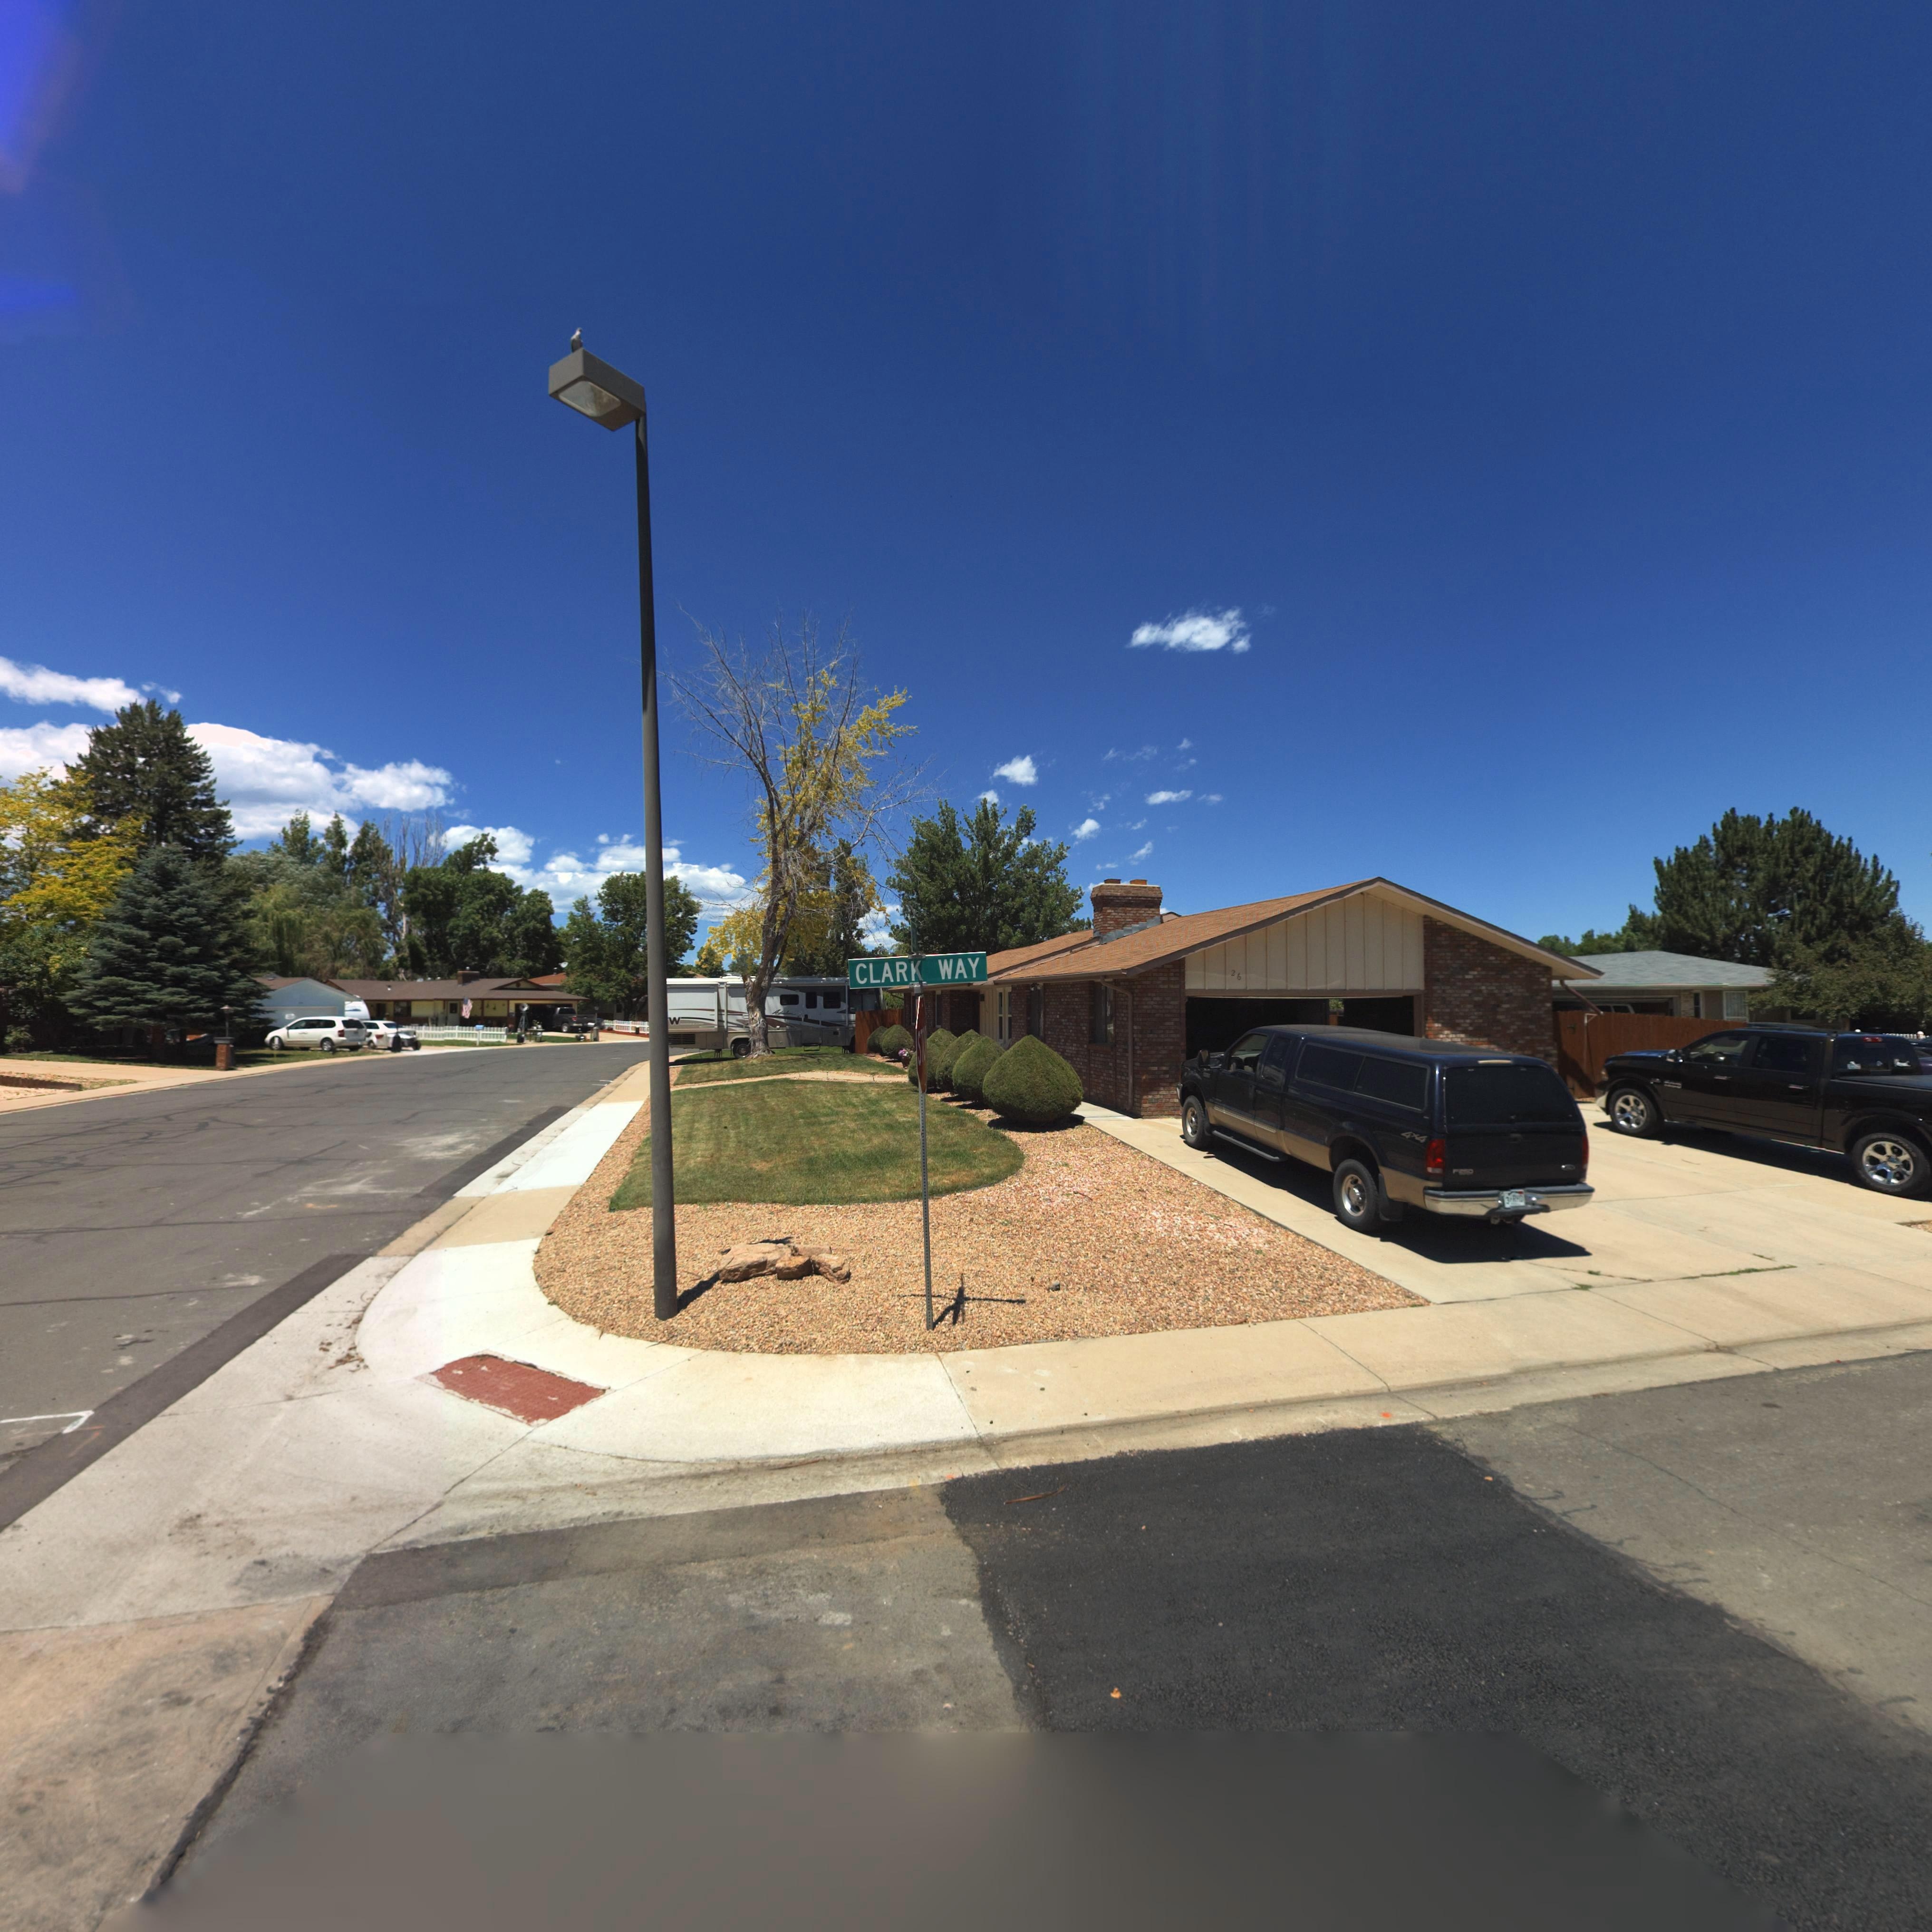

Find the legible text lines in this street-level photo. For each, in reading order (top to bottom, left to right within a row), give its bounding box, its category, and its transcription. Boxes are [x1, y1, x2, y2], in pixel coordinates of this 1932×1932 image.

[854, 956, 981, 985] StreetName: CLARK WAY
[1230, 969, 1241, 981] StreetNumber: 26